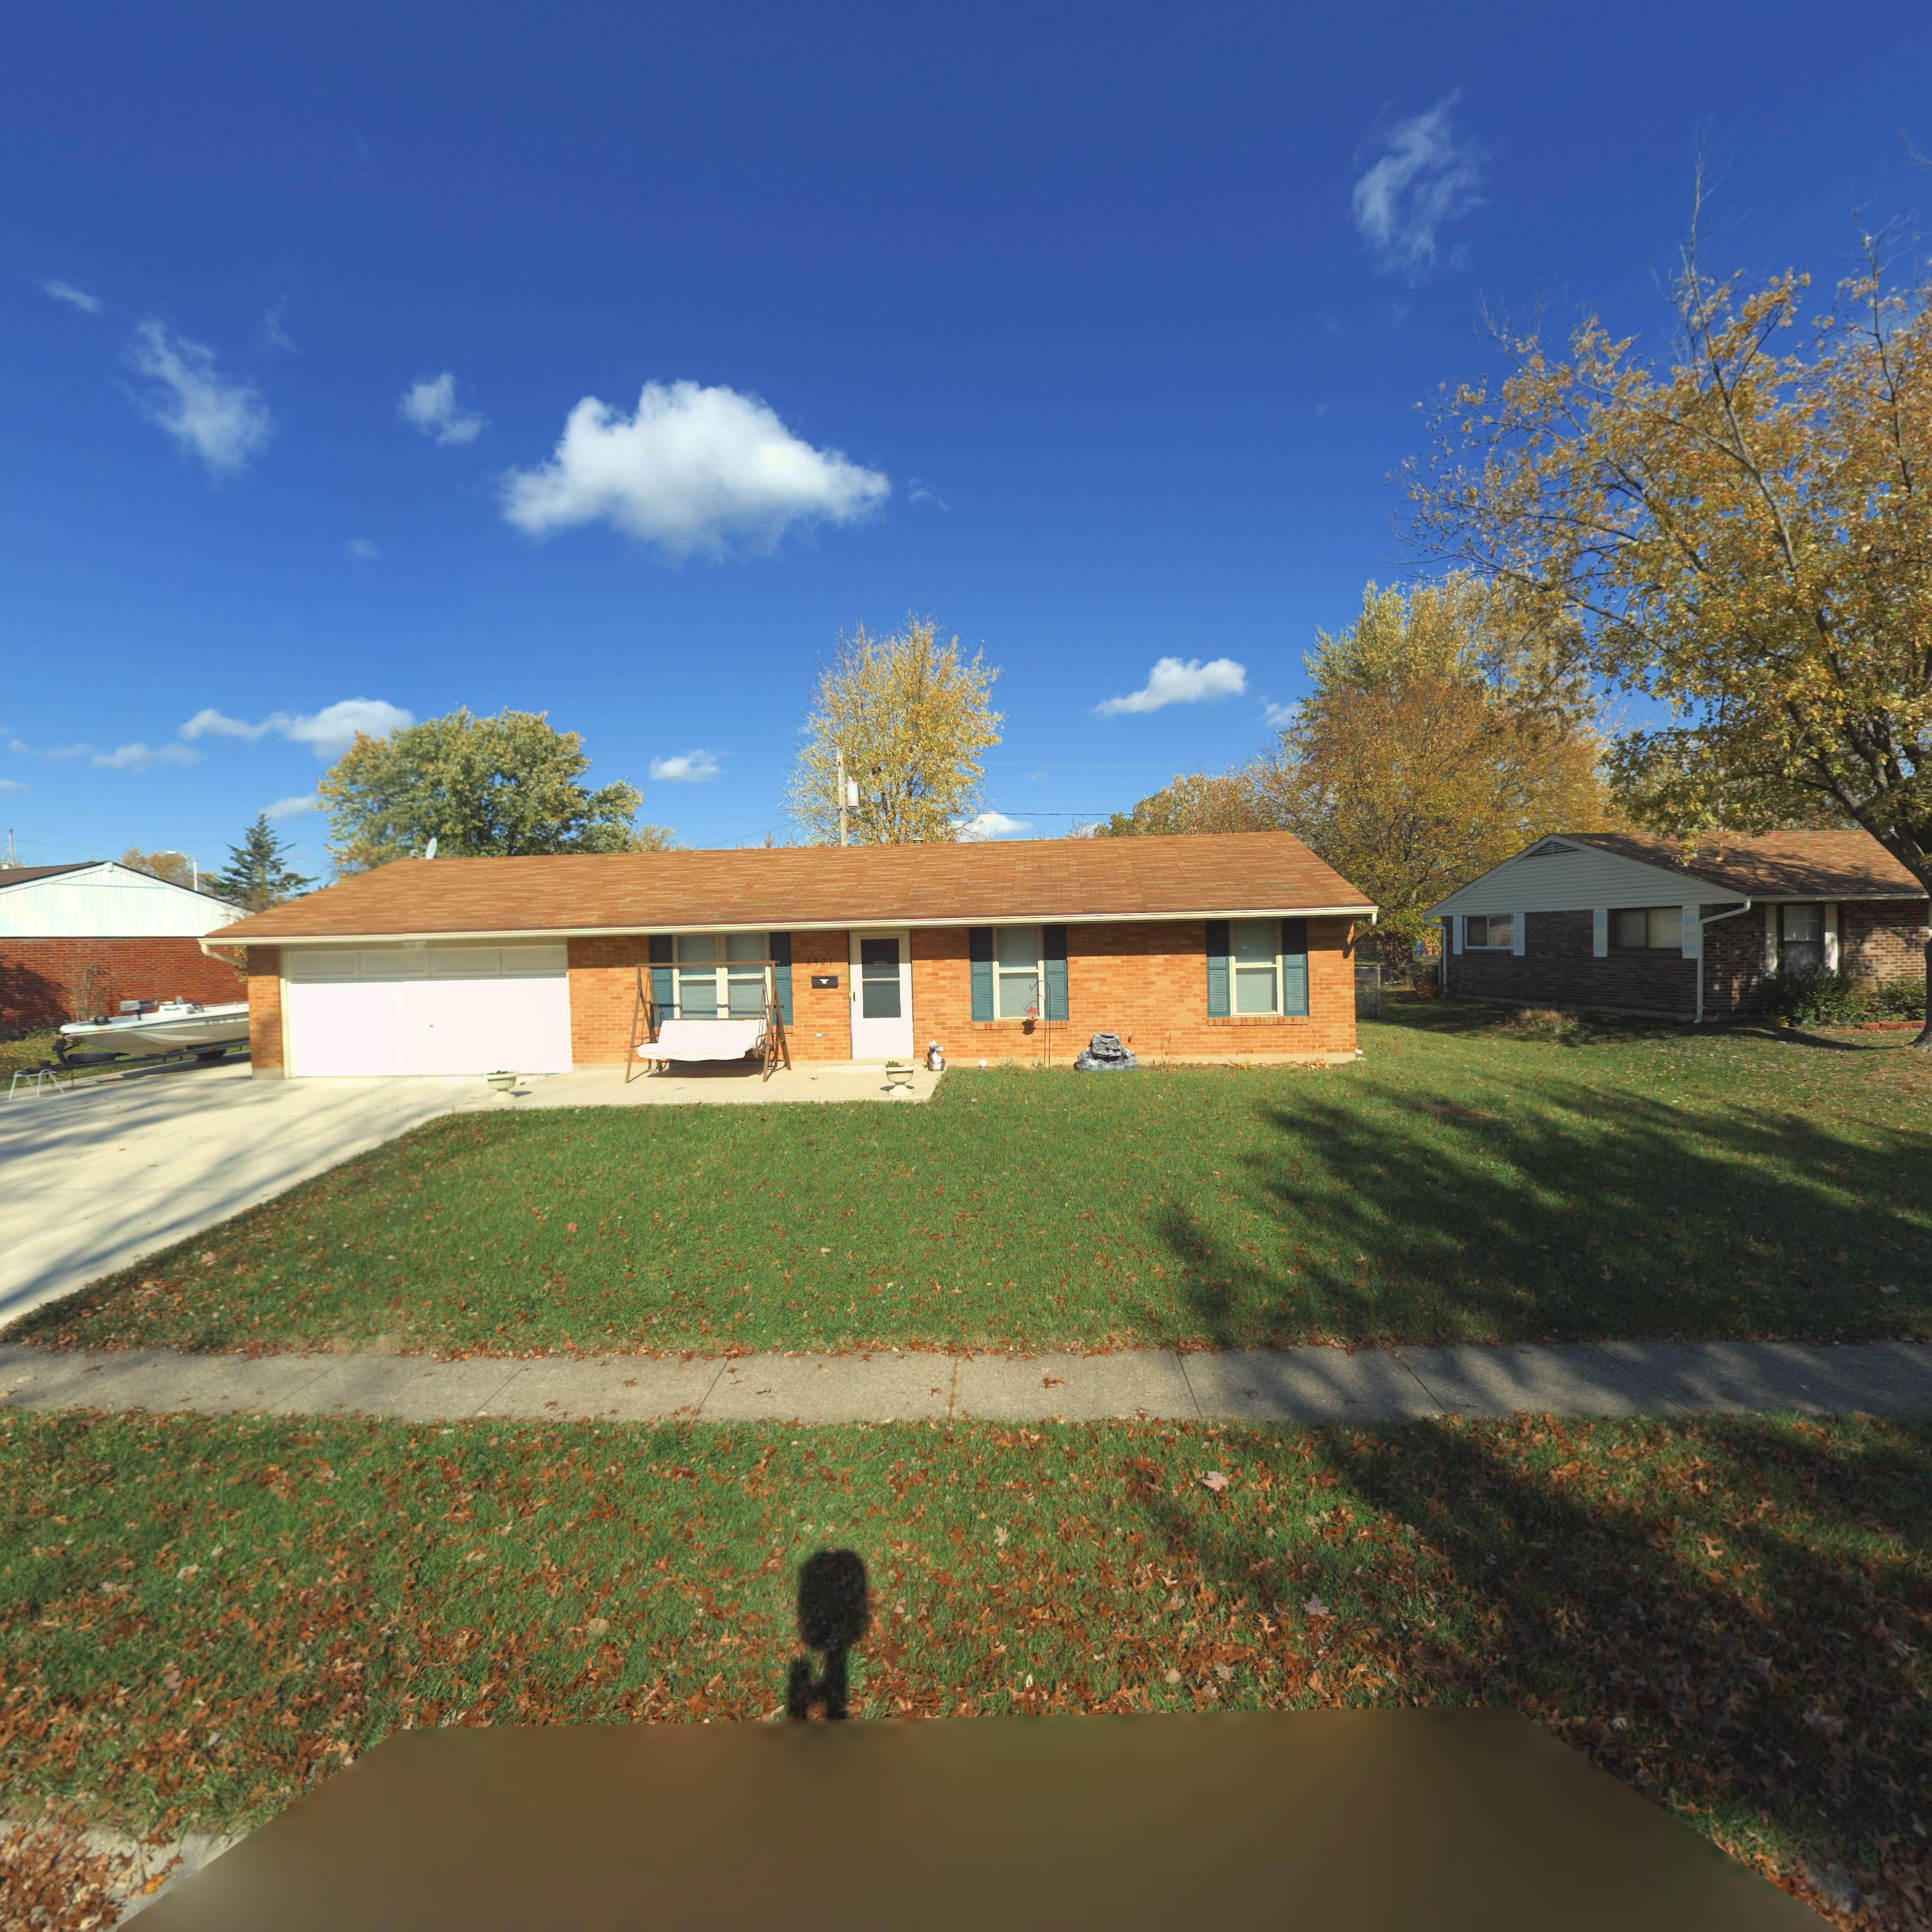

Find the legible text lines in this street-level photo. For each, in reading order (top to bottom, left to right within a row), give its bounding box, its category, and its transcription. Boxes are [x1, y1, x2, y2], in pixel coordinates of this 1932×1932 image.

[805, 956, 833, 967] StreetNumber: 6921